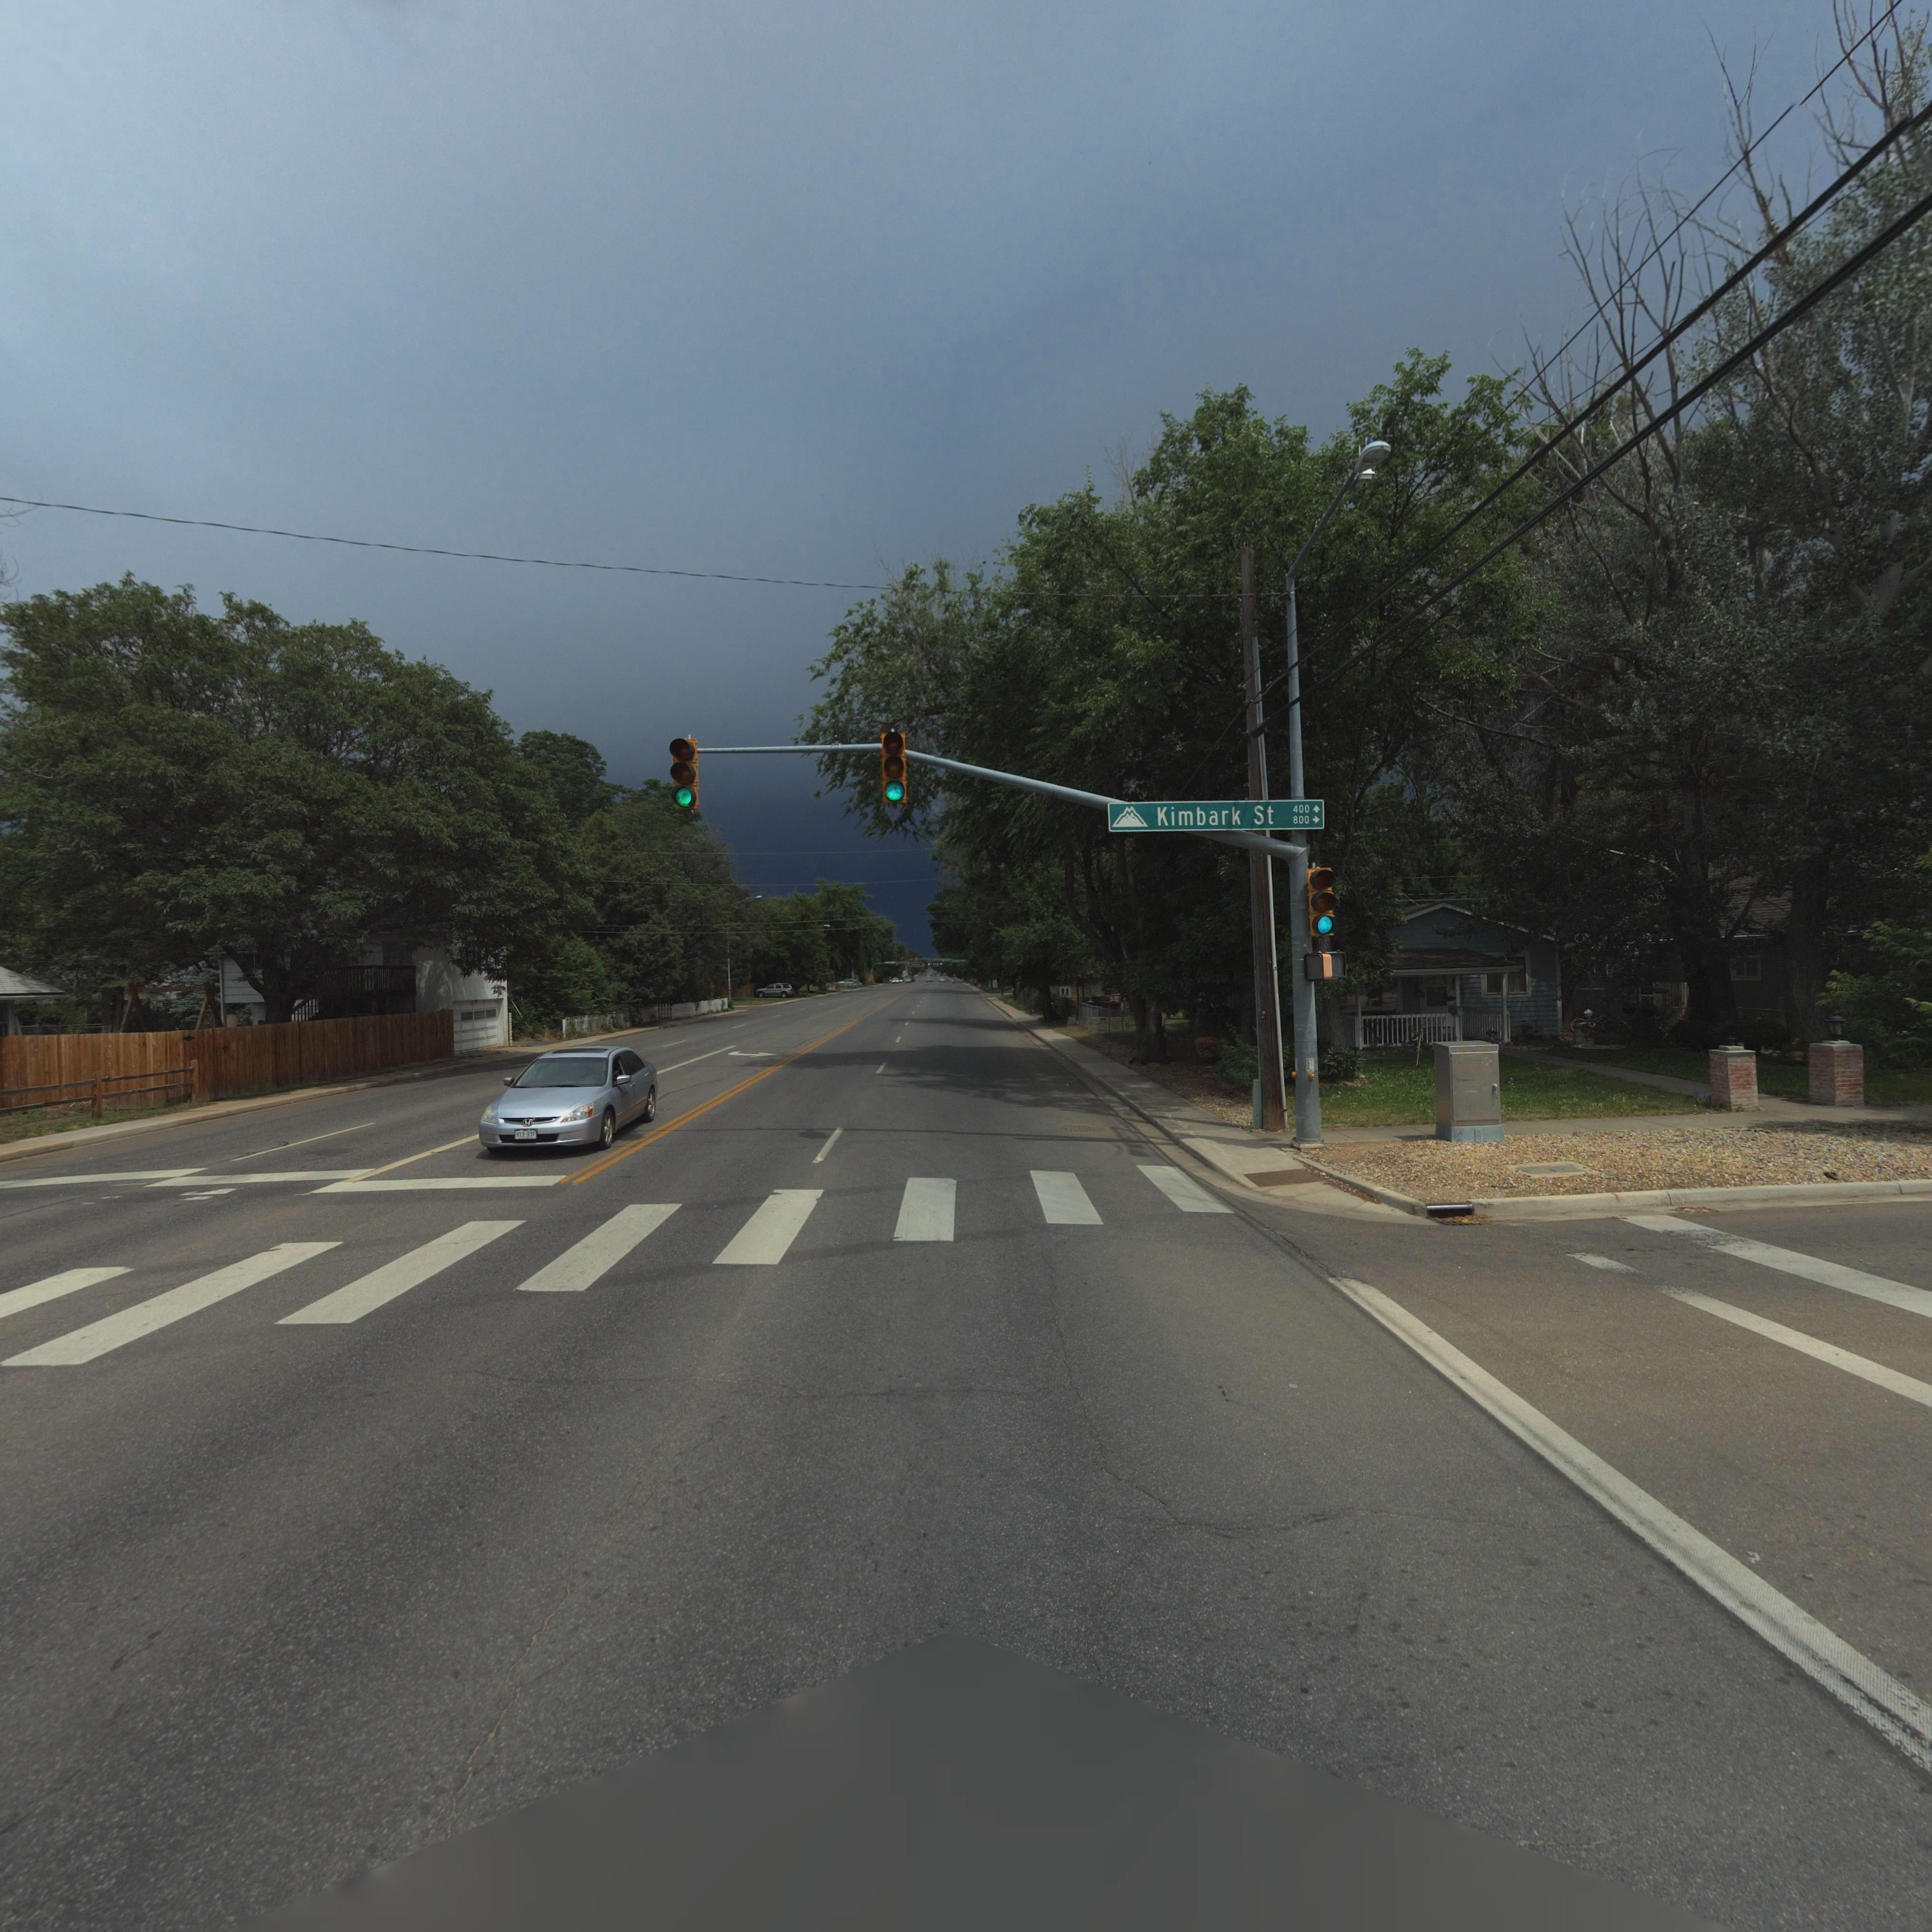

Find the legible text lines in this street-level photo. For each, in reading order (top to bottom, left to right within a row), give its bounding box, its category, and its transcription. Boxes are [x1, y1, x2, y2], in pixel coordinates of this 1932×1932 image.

[1292, 804, 1309, 813] StreetNumberRange: 400
[1157, 804, 1274, 826] StreetName: Kimbark sSt
[1293, 815, 1320, 824] StreetNumberRange: 800->